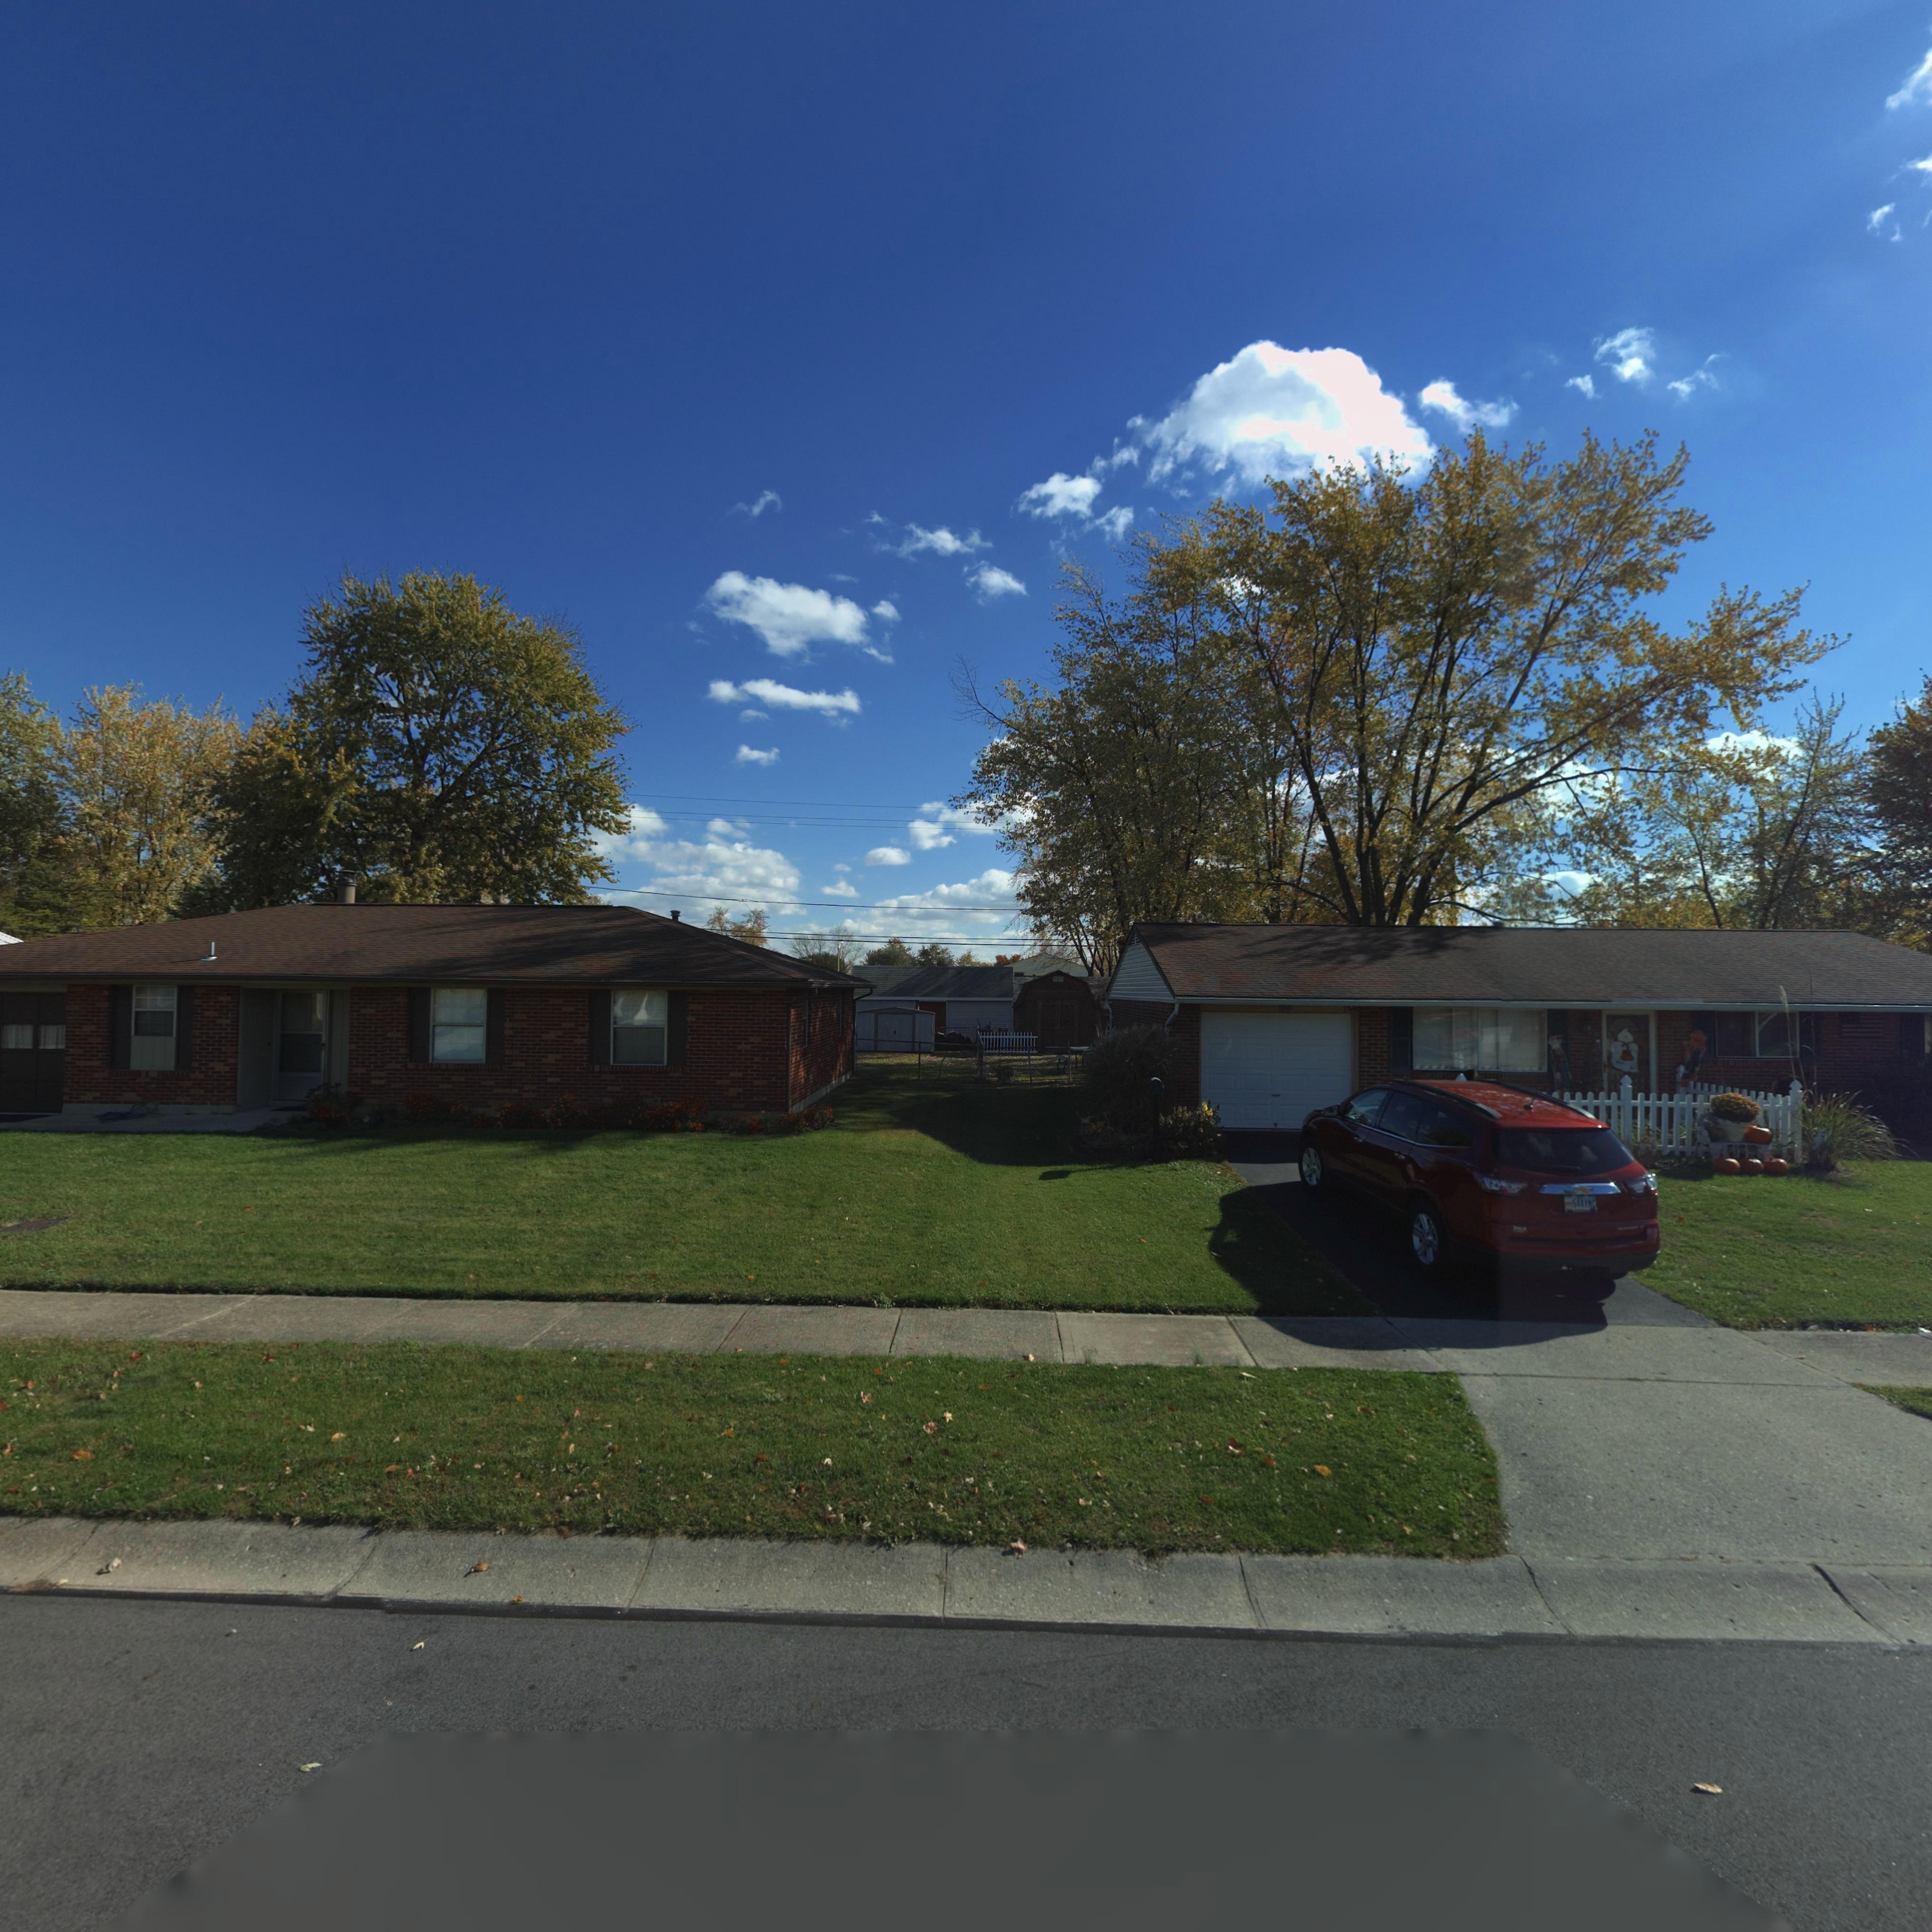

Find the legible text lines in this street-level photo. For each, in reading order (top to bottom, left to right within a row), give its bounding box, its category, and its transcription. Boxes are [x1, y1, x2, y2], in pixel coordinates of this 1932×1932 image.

[1341, 1005, 1353, 1013] StreetNumber: 76